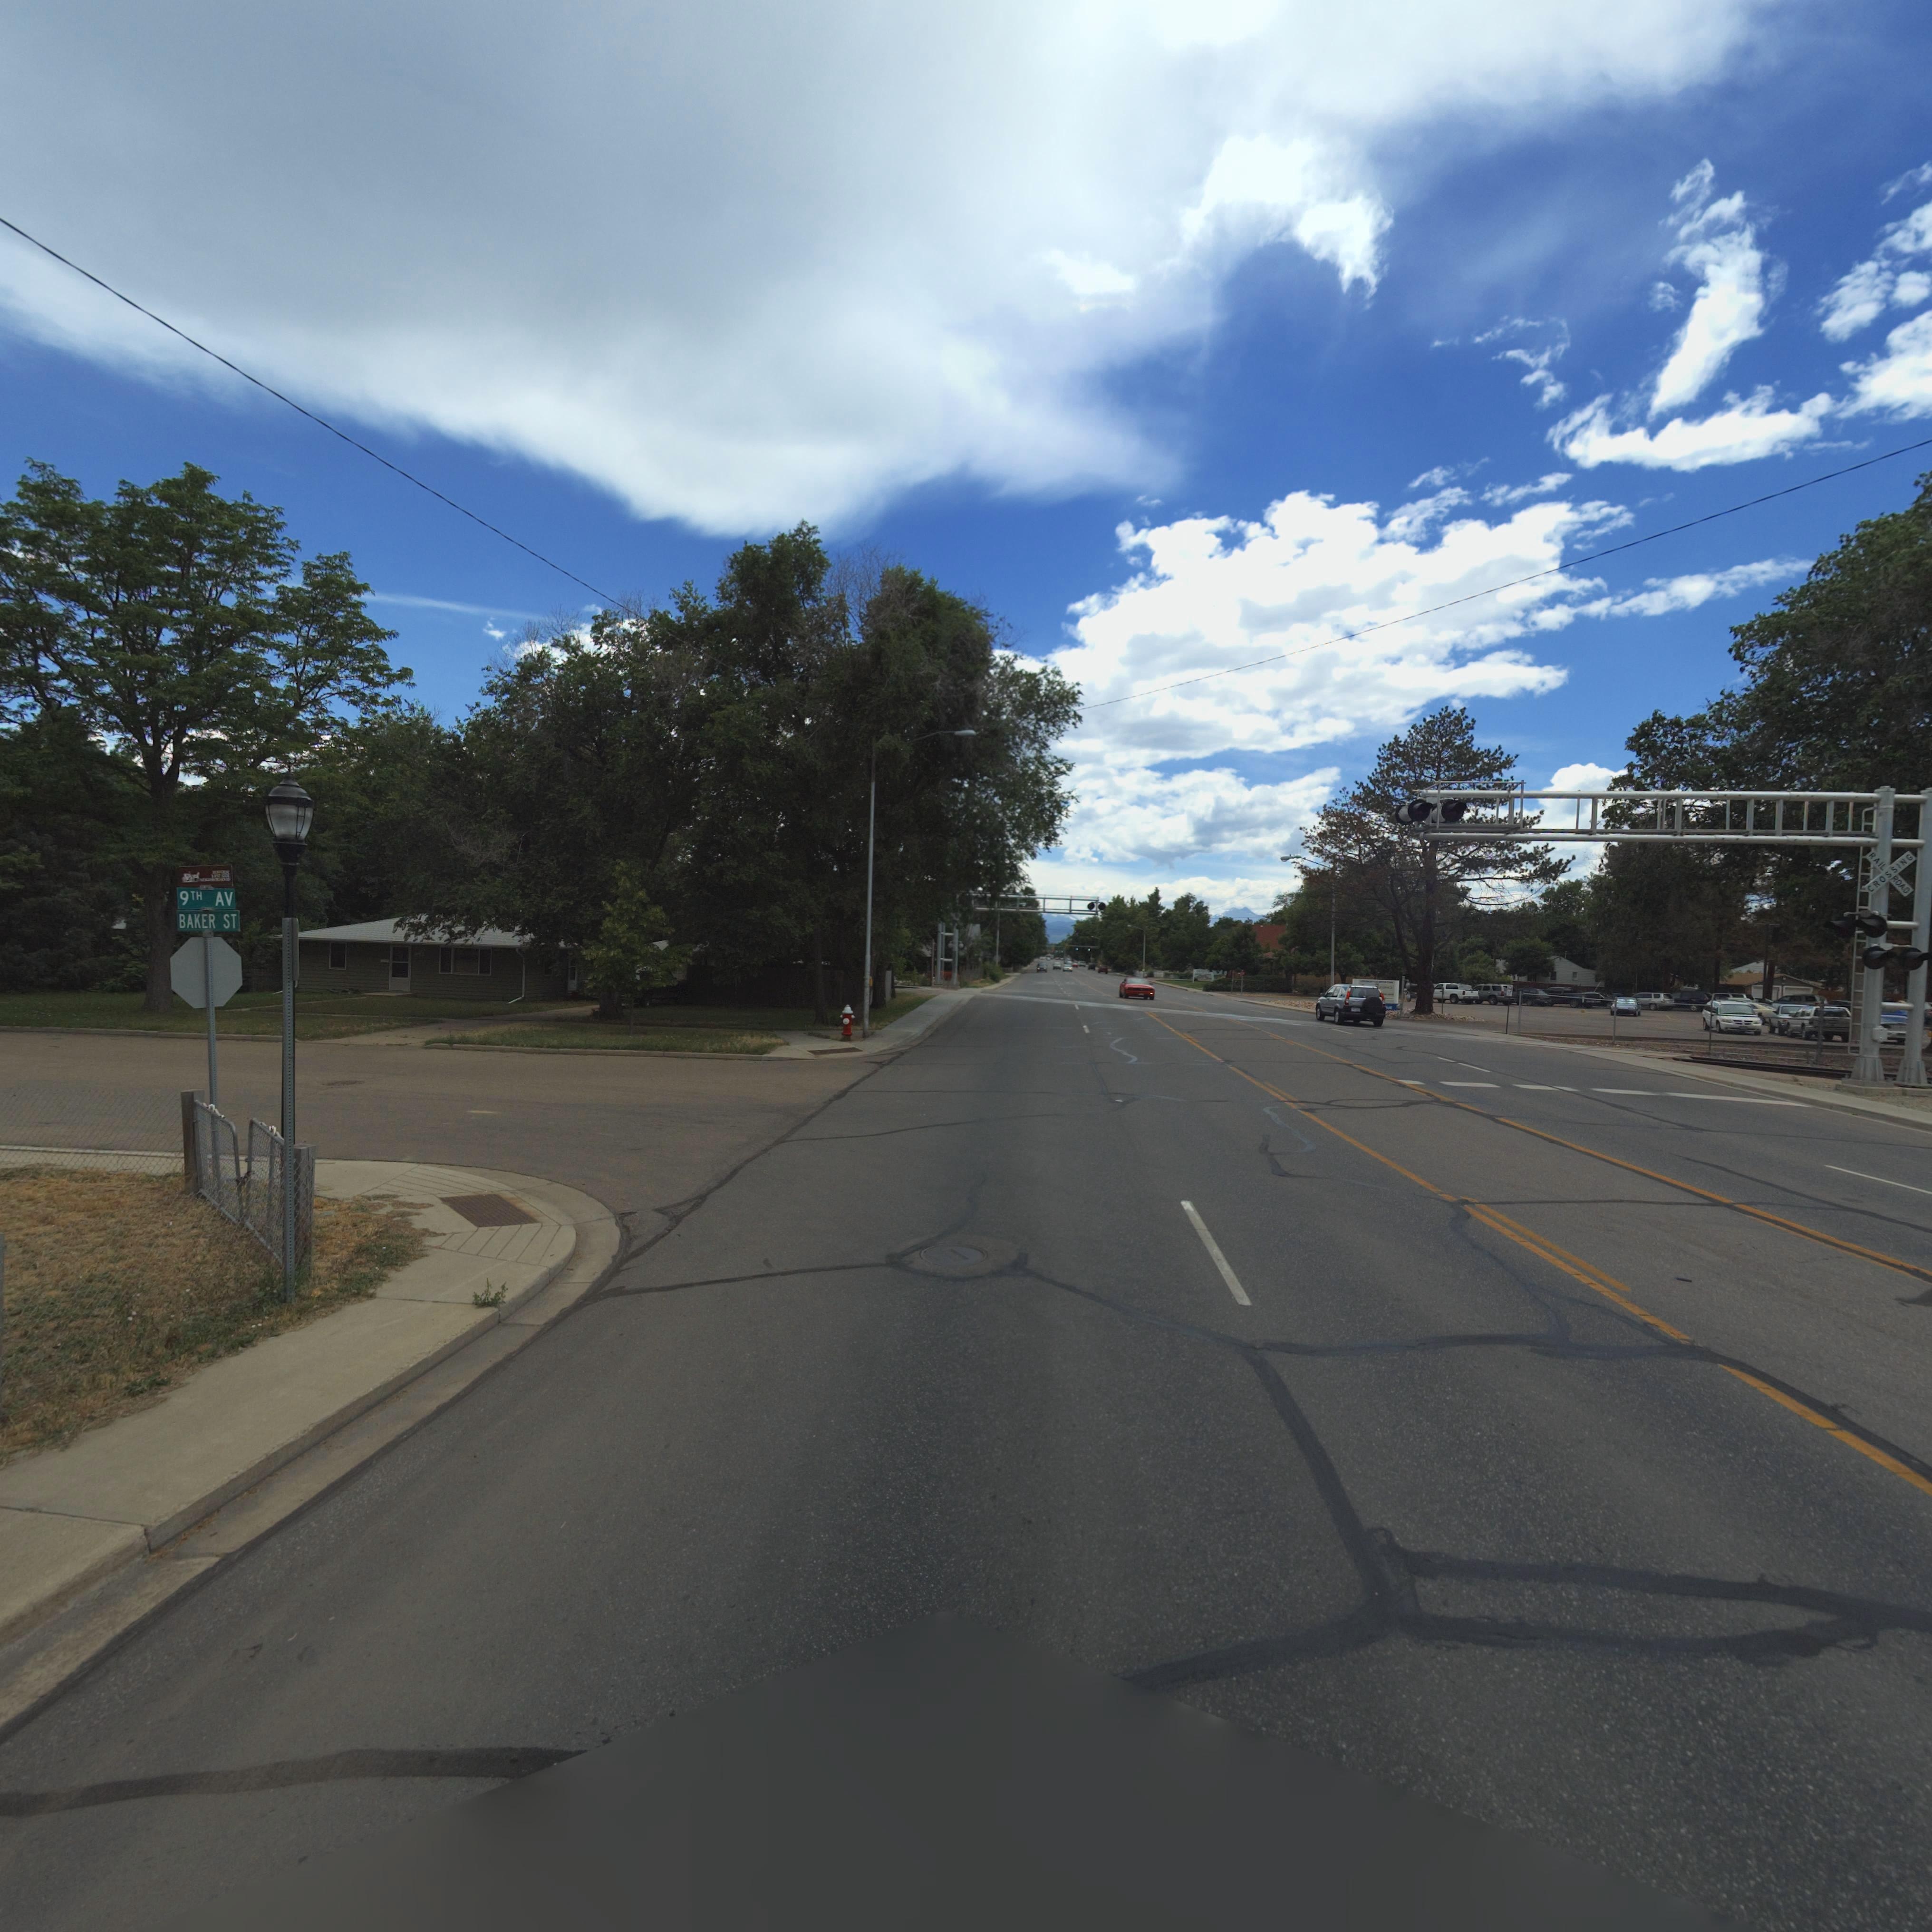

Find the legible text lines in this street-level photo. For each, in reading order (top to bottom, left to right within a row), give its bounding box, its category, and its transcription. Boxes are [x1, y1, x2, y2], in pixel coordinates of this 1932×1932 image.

[179, 890, 233, 907] StreetName: 9TH AV
[178, 913, 237, 928] StreetName: BAKER ST